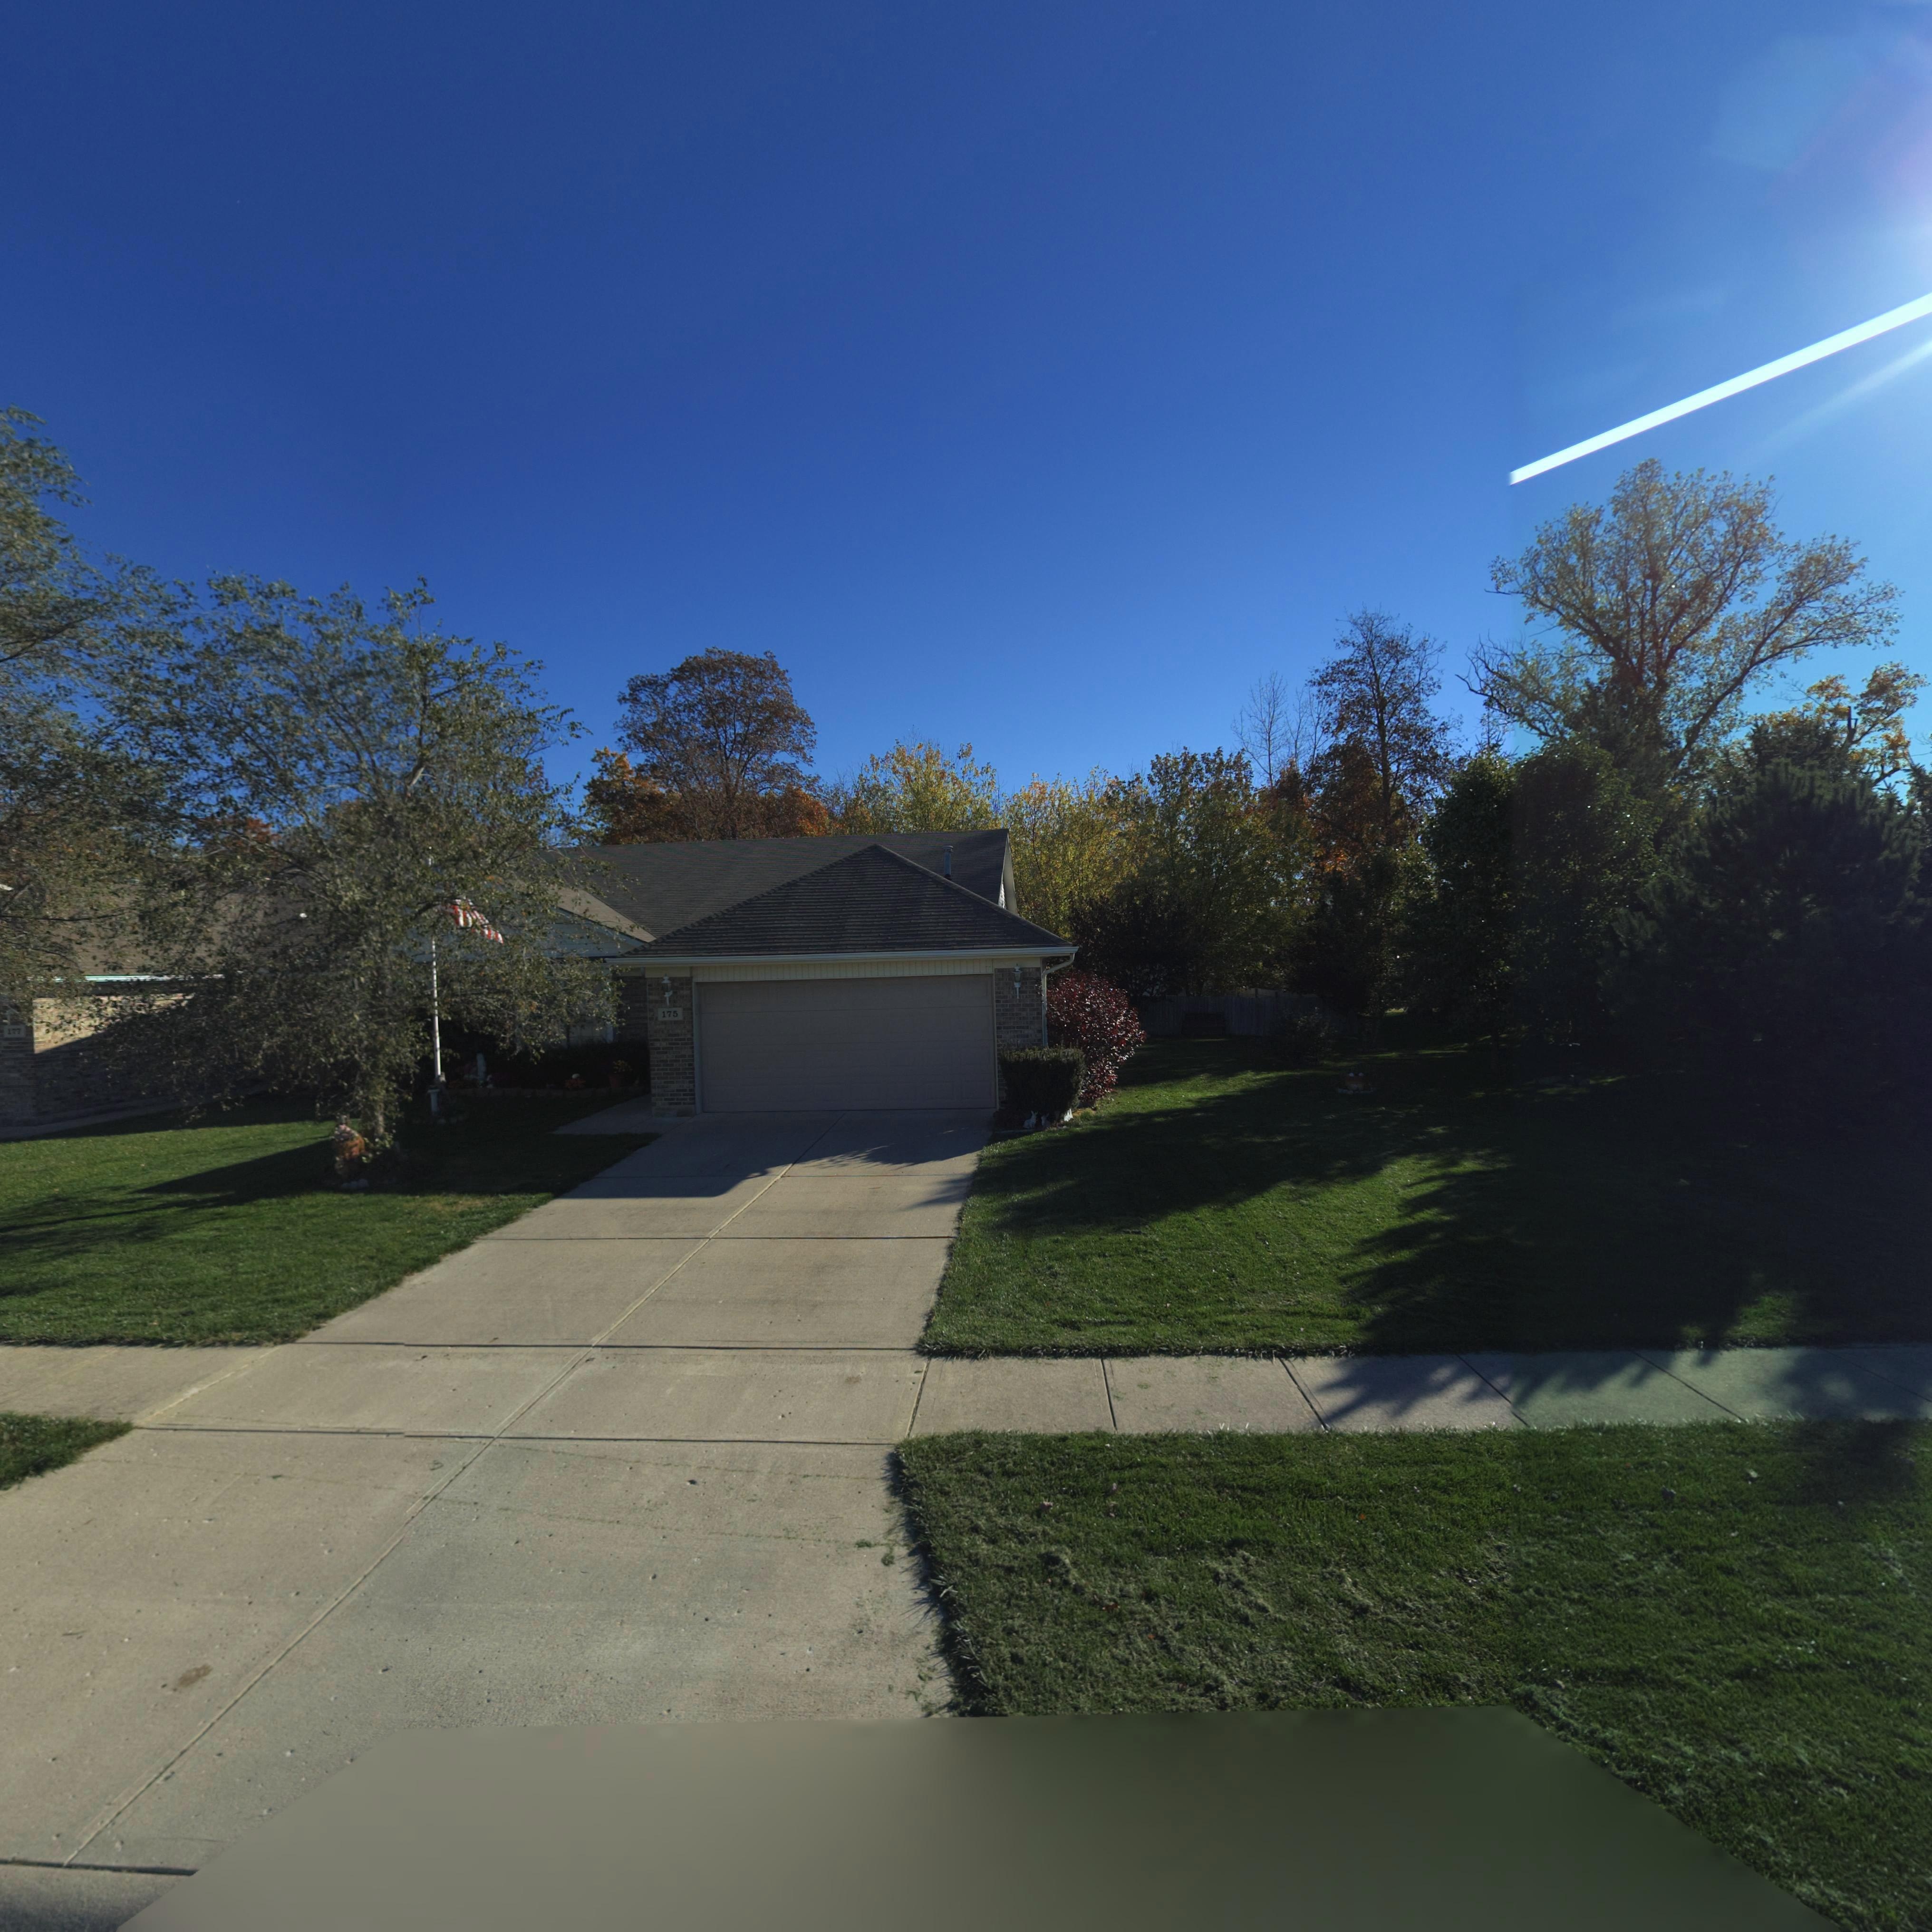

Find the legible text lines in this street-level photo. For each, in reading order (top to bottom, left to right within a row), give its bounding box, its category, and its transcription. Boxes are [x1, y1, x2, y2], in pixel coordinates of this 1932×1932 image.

[661, 1009, 679, 1019] StreetNumber: 175